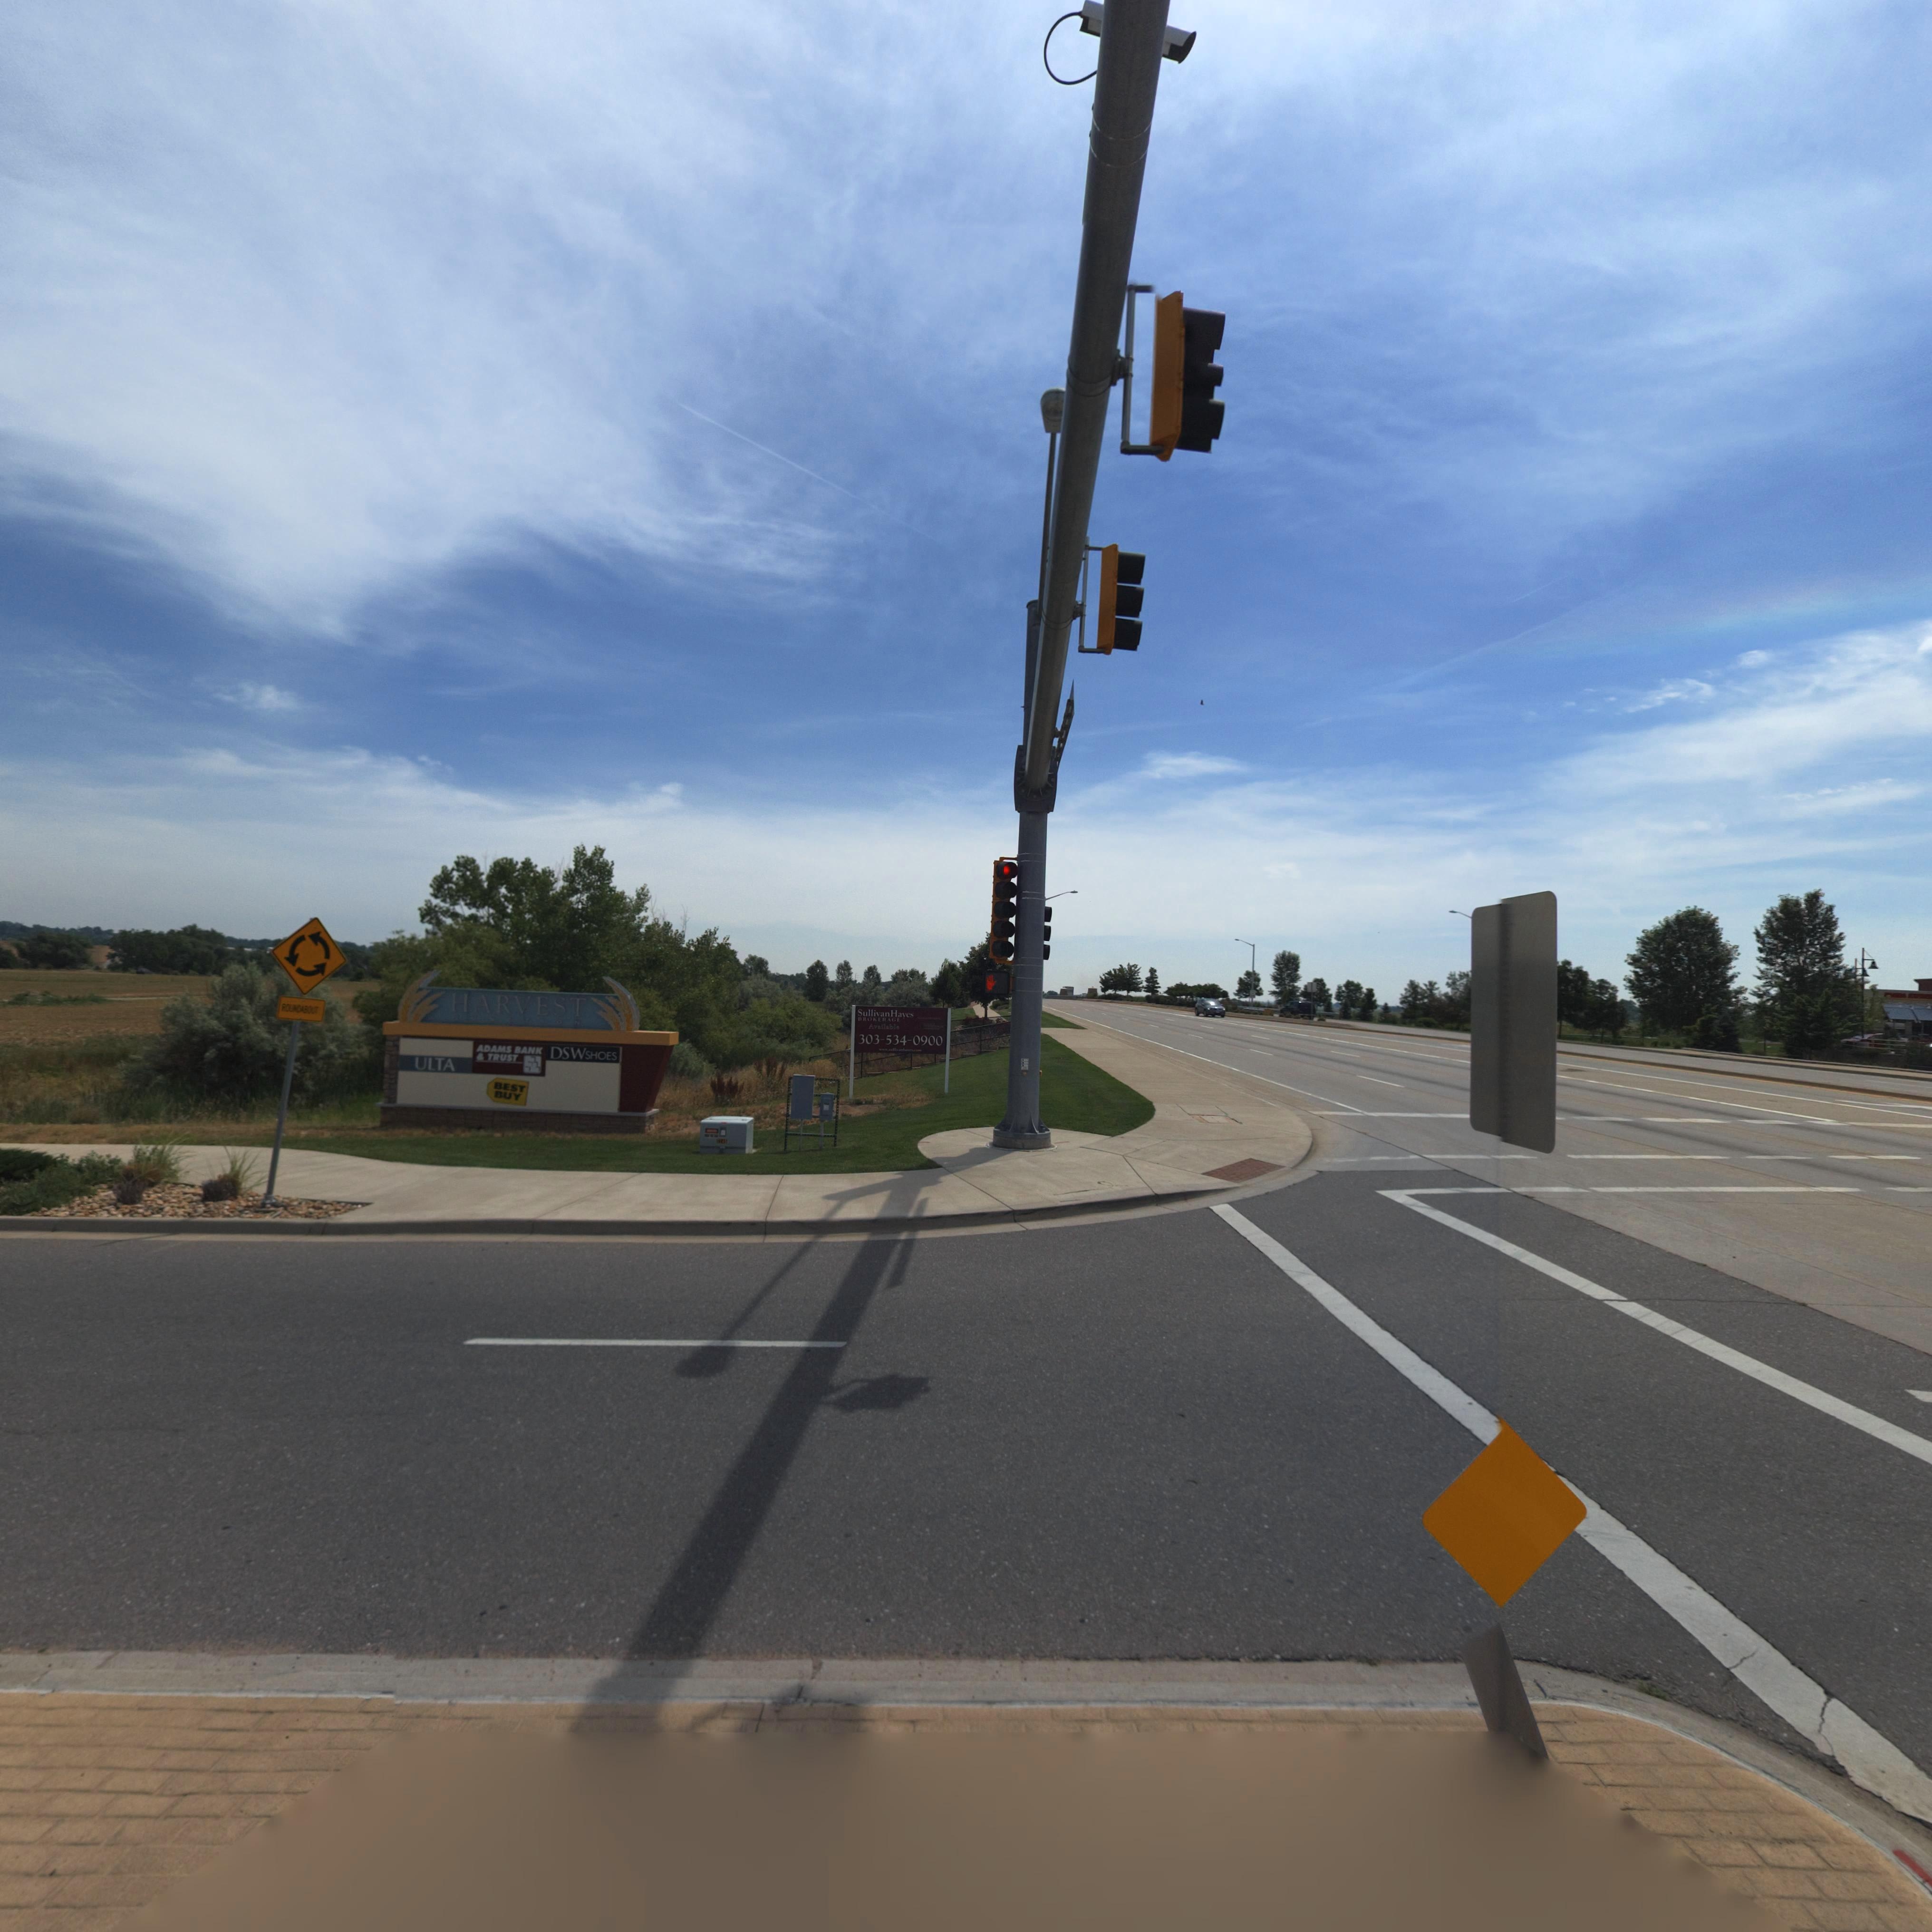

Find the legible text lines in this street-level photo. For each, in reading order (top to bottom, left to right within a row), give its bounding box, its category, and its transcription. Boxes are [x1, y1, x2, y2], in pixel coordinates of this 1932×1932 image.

[476, 1053, 519, 1062] BusinessName: & TRUST
[476, 1044, 543, 1054] BusinessName: ADAMS BANK
[550, 1046, 617, 1061] BusinessName: DSWSHOES
[415, 1056, 454, 1072] BusinessName: ULTA
[494, 1082, 526, 1092] BusinessName: BEST 
[494, 1090, 522, 1101] BusinessName: BUY